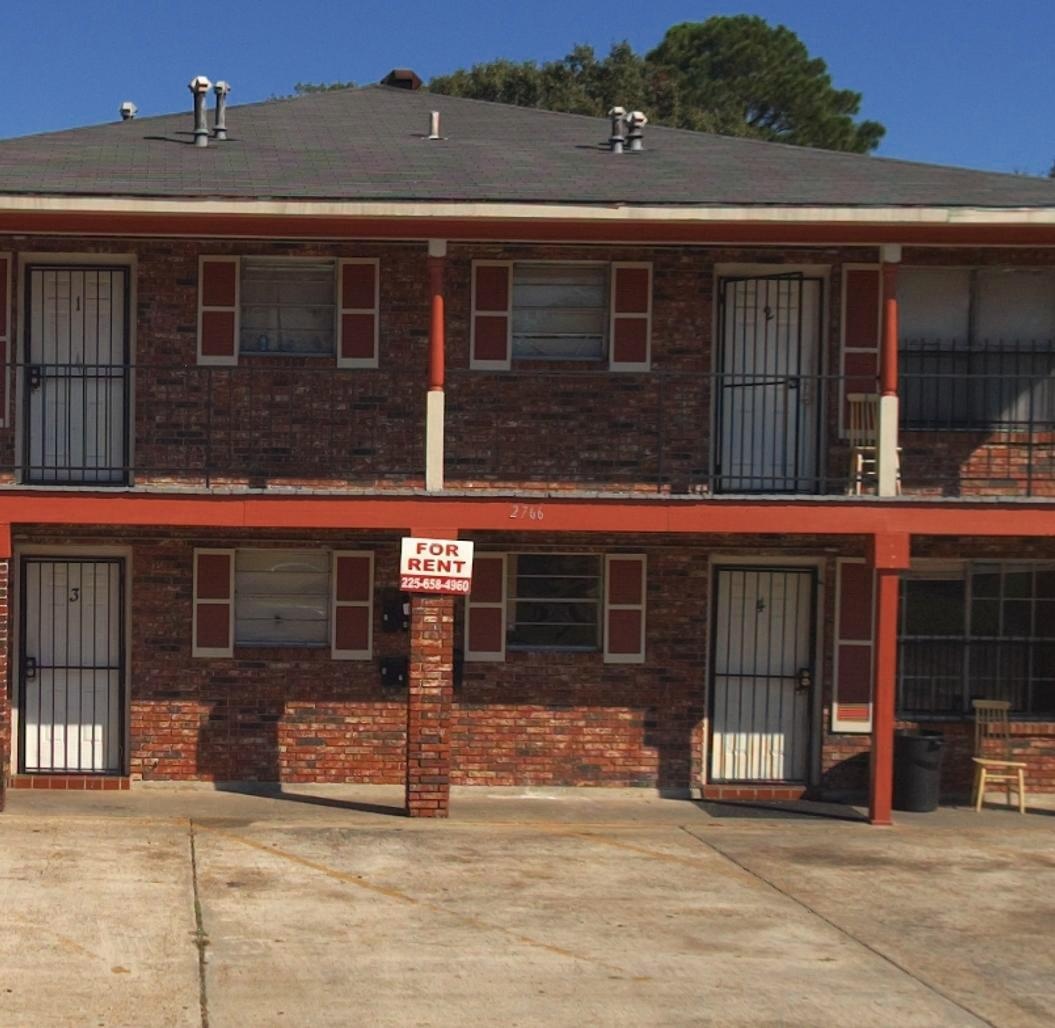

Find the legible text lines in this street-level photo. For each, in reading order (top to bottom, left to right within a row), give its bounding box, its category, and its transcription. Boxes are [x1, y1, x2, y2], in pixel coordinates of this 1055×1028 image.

[508, 503, 545, 521] StreetNumber: 2766
[415, 540, 460, 559] None: FOR
[406, 555, 467, 575] None: RENT
[399, 575, 471, 593] None: 225-658-4960